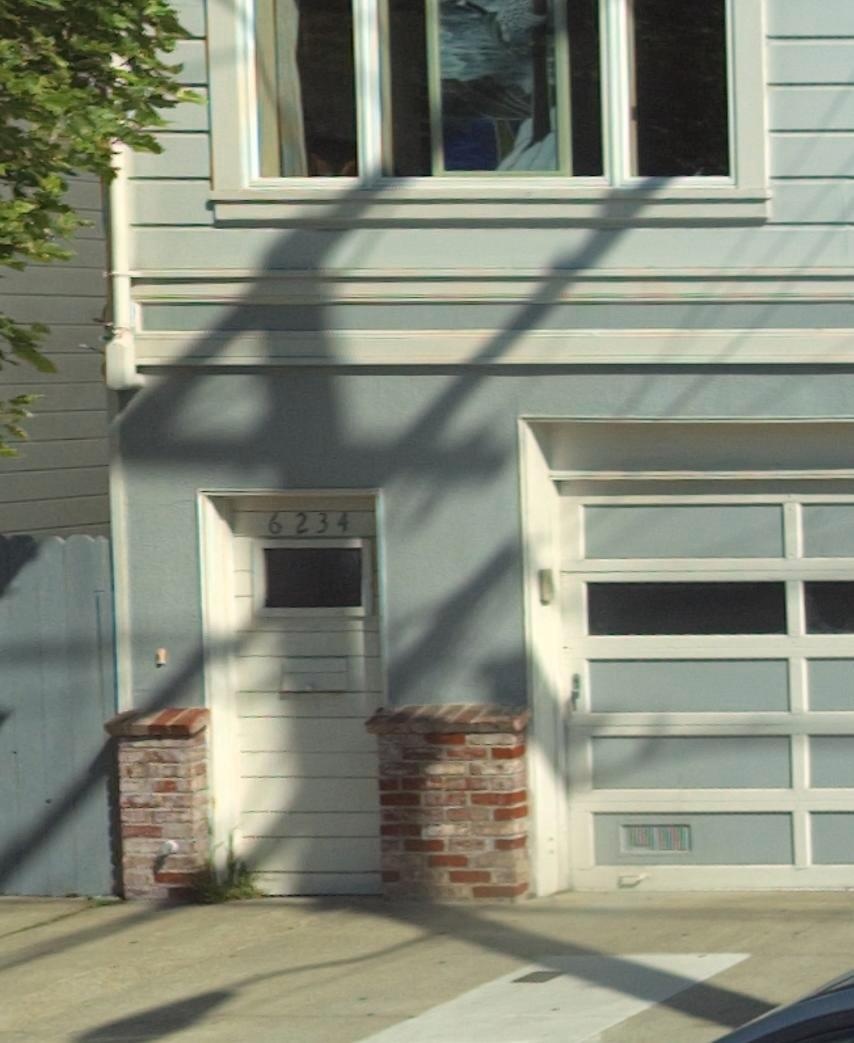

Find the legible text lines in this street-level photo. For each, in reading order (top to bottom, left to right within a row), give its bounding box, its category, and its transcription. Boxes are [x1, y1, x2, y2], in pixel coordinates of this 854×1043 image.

[266, 507, 350, 537] StreetNumber: 6234